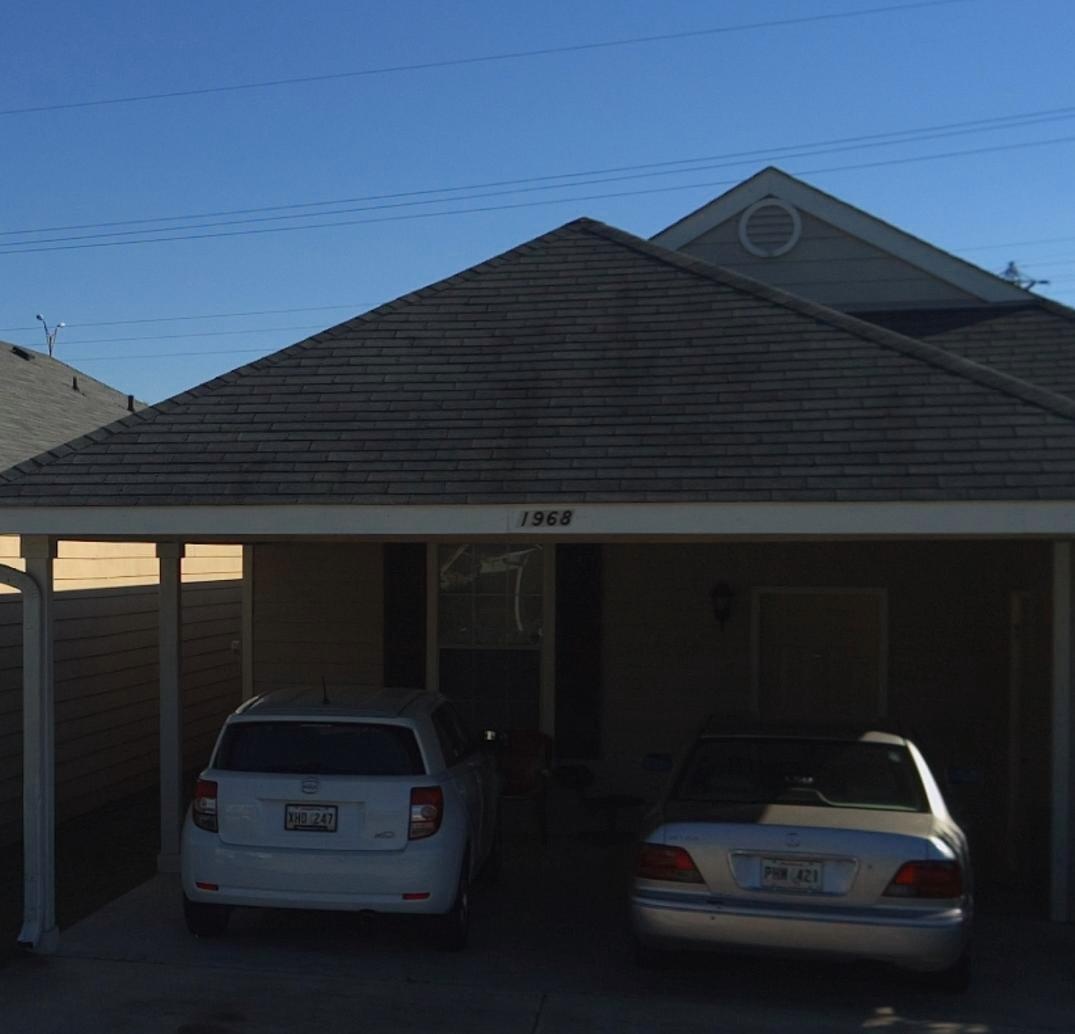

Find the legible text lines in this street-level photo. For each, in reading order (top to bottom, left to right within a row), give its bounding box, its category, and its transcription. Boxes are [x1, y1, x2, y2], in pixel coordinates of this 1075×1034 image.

[517, 509, 574, 528] StreetNumber: 1968
[286, 809, 337, 825] None: XHD*247
[762, 865, 820, 884] None: P** 421